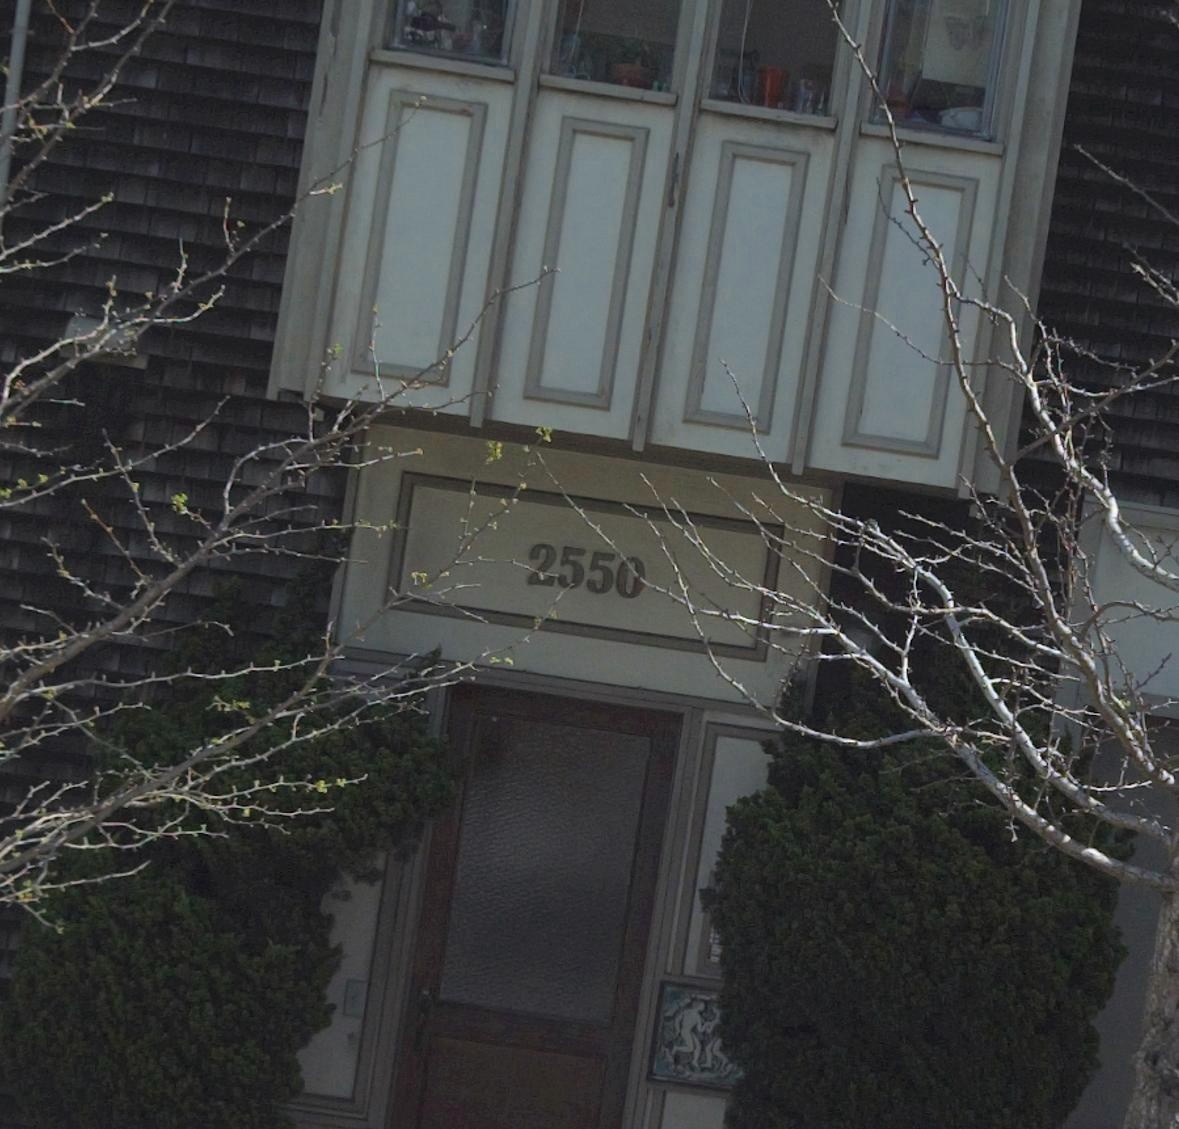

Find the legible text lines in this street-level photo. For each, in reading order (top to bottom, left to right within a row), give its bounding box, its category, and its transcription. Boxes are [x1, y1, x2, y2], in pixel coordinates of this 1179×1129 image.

[526, 540, 648, 601] StreetNumber: 2550